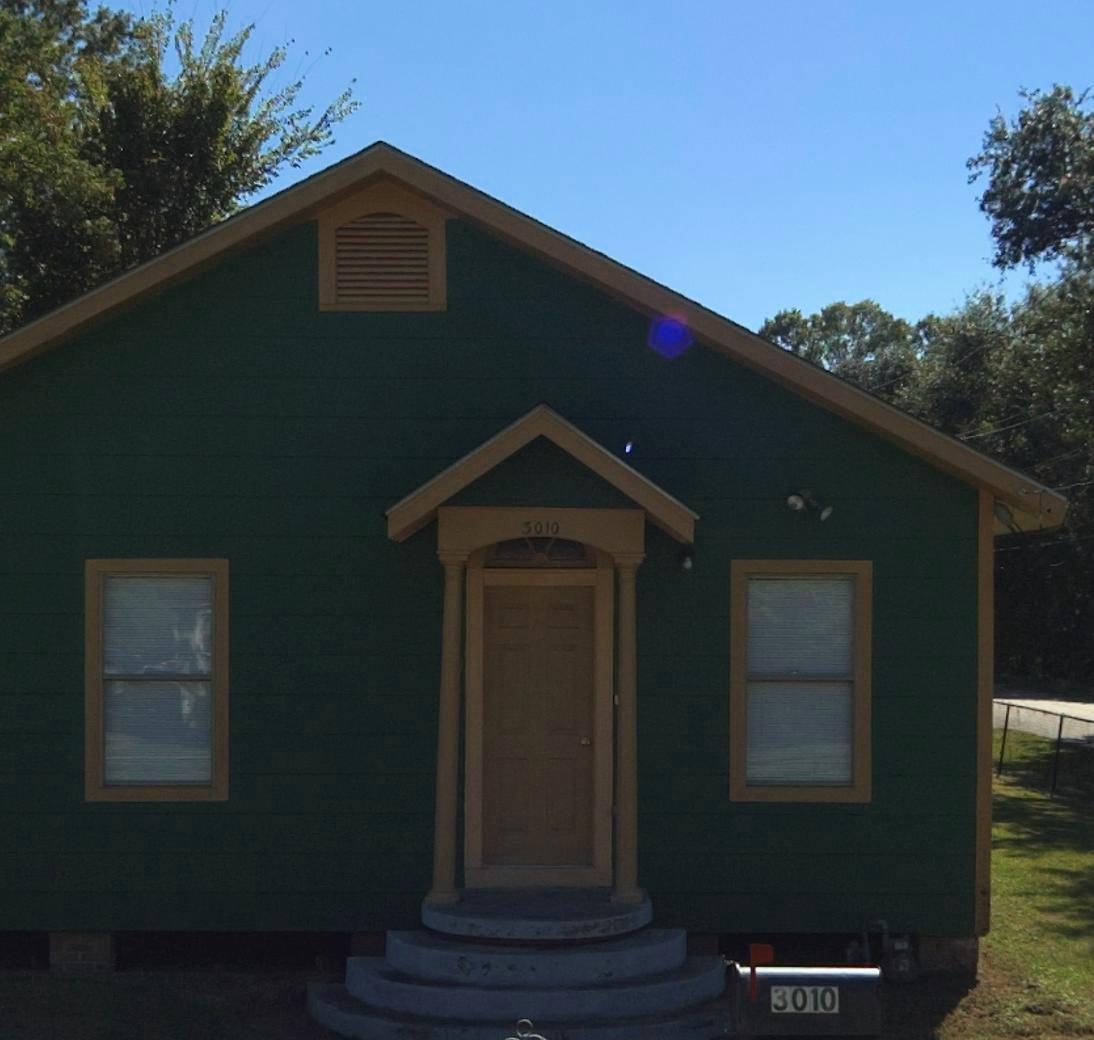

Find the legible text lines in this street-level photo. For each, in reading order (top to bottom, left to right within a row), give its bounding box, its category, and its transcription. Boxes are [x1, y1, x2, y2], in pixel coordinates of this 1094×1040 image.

[521, 519, 561, 535] StreetNumber: 3010
[772, 986, 837, 1012] StreetNumber: 3010